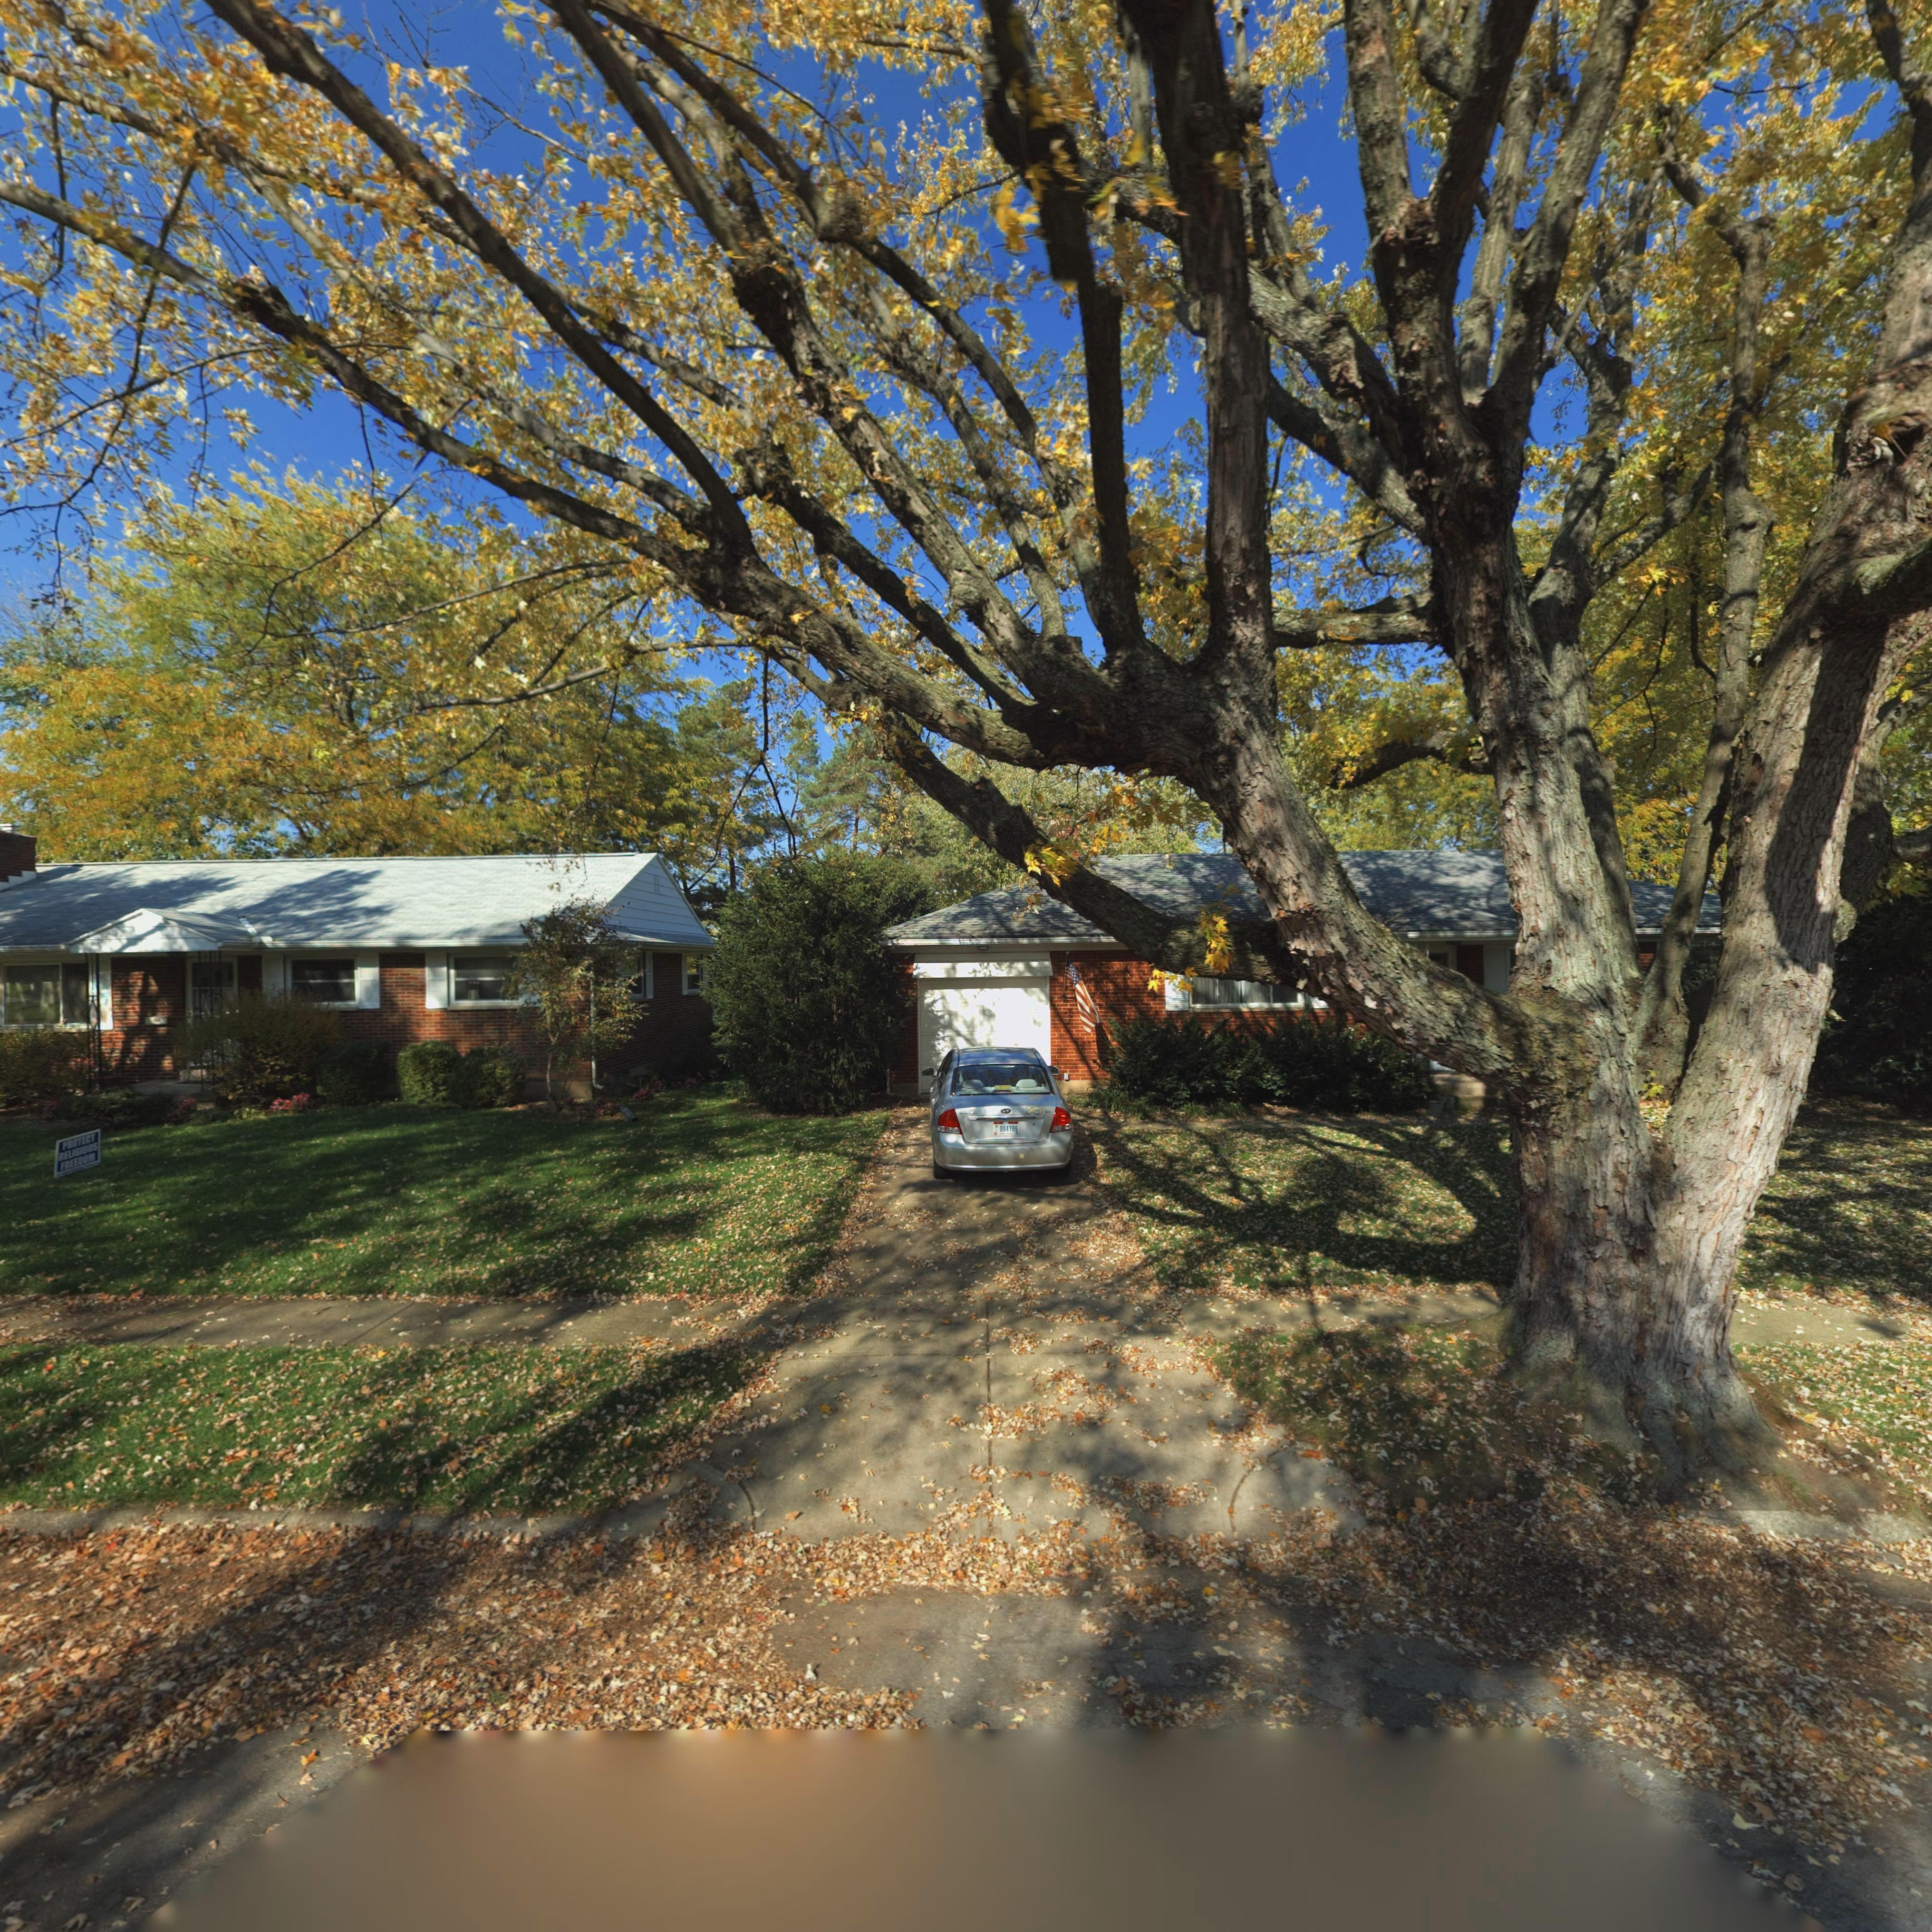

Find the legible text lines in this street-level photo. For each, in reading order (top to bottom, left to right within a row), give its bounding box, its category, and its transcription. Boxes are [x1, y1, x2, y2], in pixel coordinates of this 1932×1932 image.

[1002, 1109, 1010, 1113] None: KIA
[999, 1125, 1018, 1132] None: 084180
[60, 1151, 96, 1171] None: FREEDOM
[59, 1140, 98, 1162] None: RELIGIOUS
[62, 1132, 97, 1152] None: PROTECT